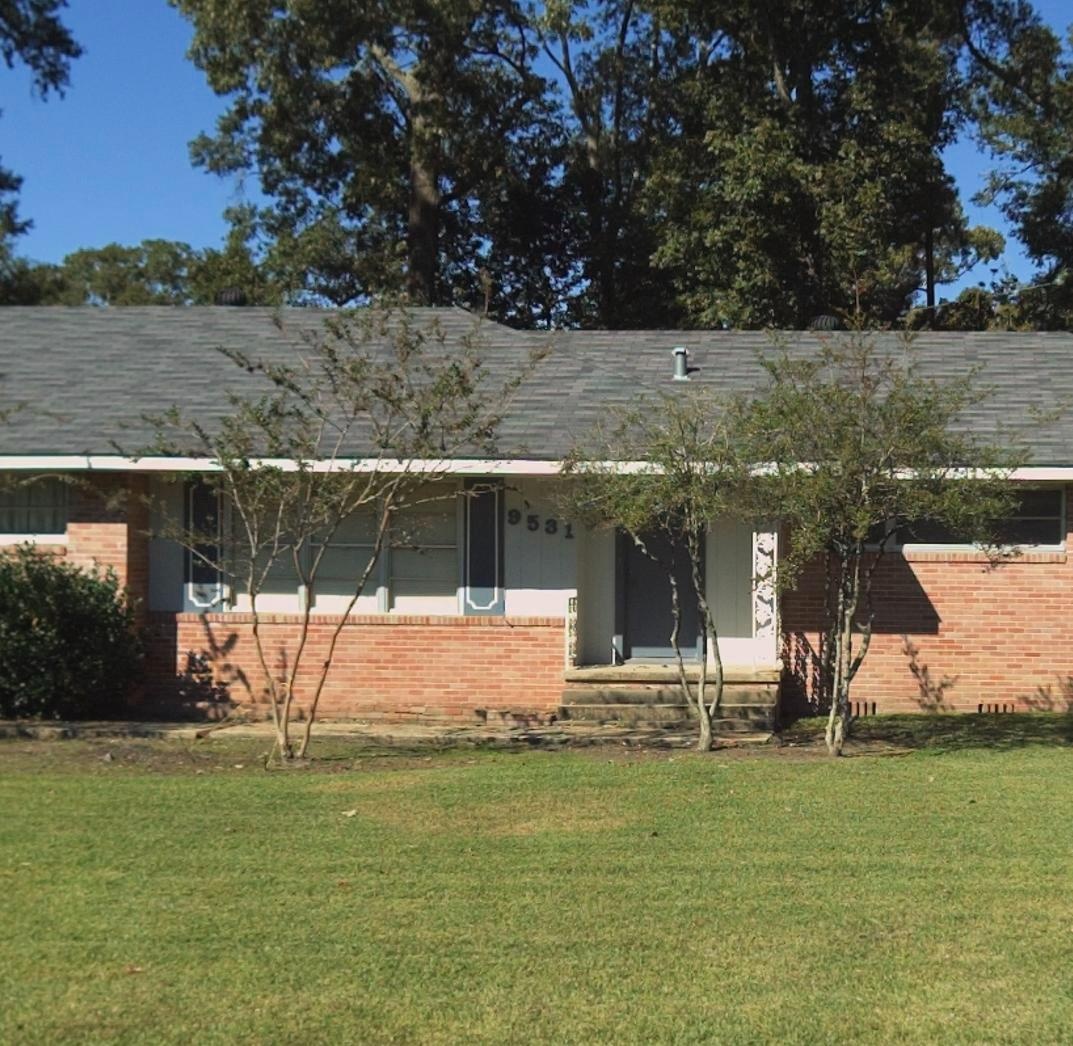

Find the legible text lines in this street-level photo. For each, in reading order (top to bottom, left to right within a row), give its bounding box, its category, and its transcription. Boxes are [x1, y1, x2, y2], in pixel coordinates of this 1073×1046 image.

[505, 506, 576, 542] StreetNumber: 9531